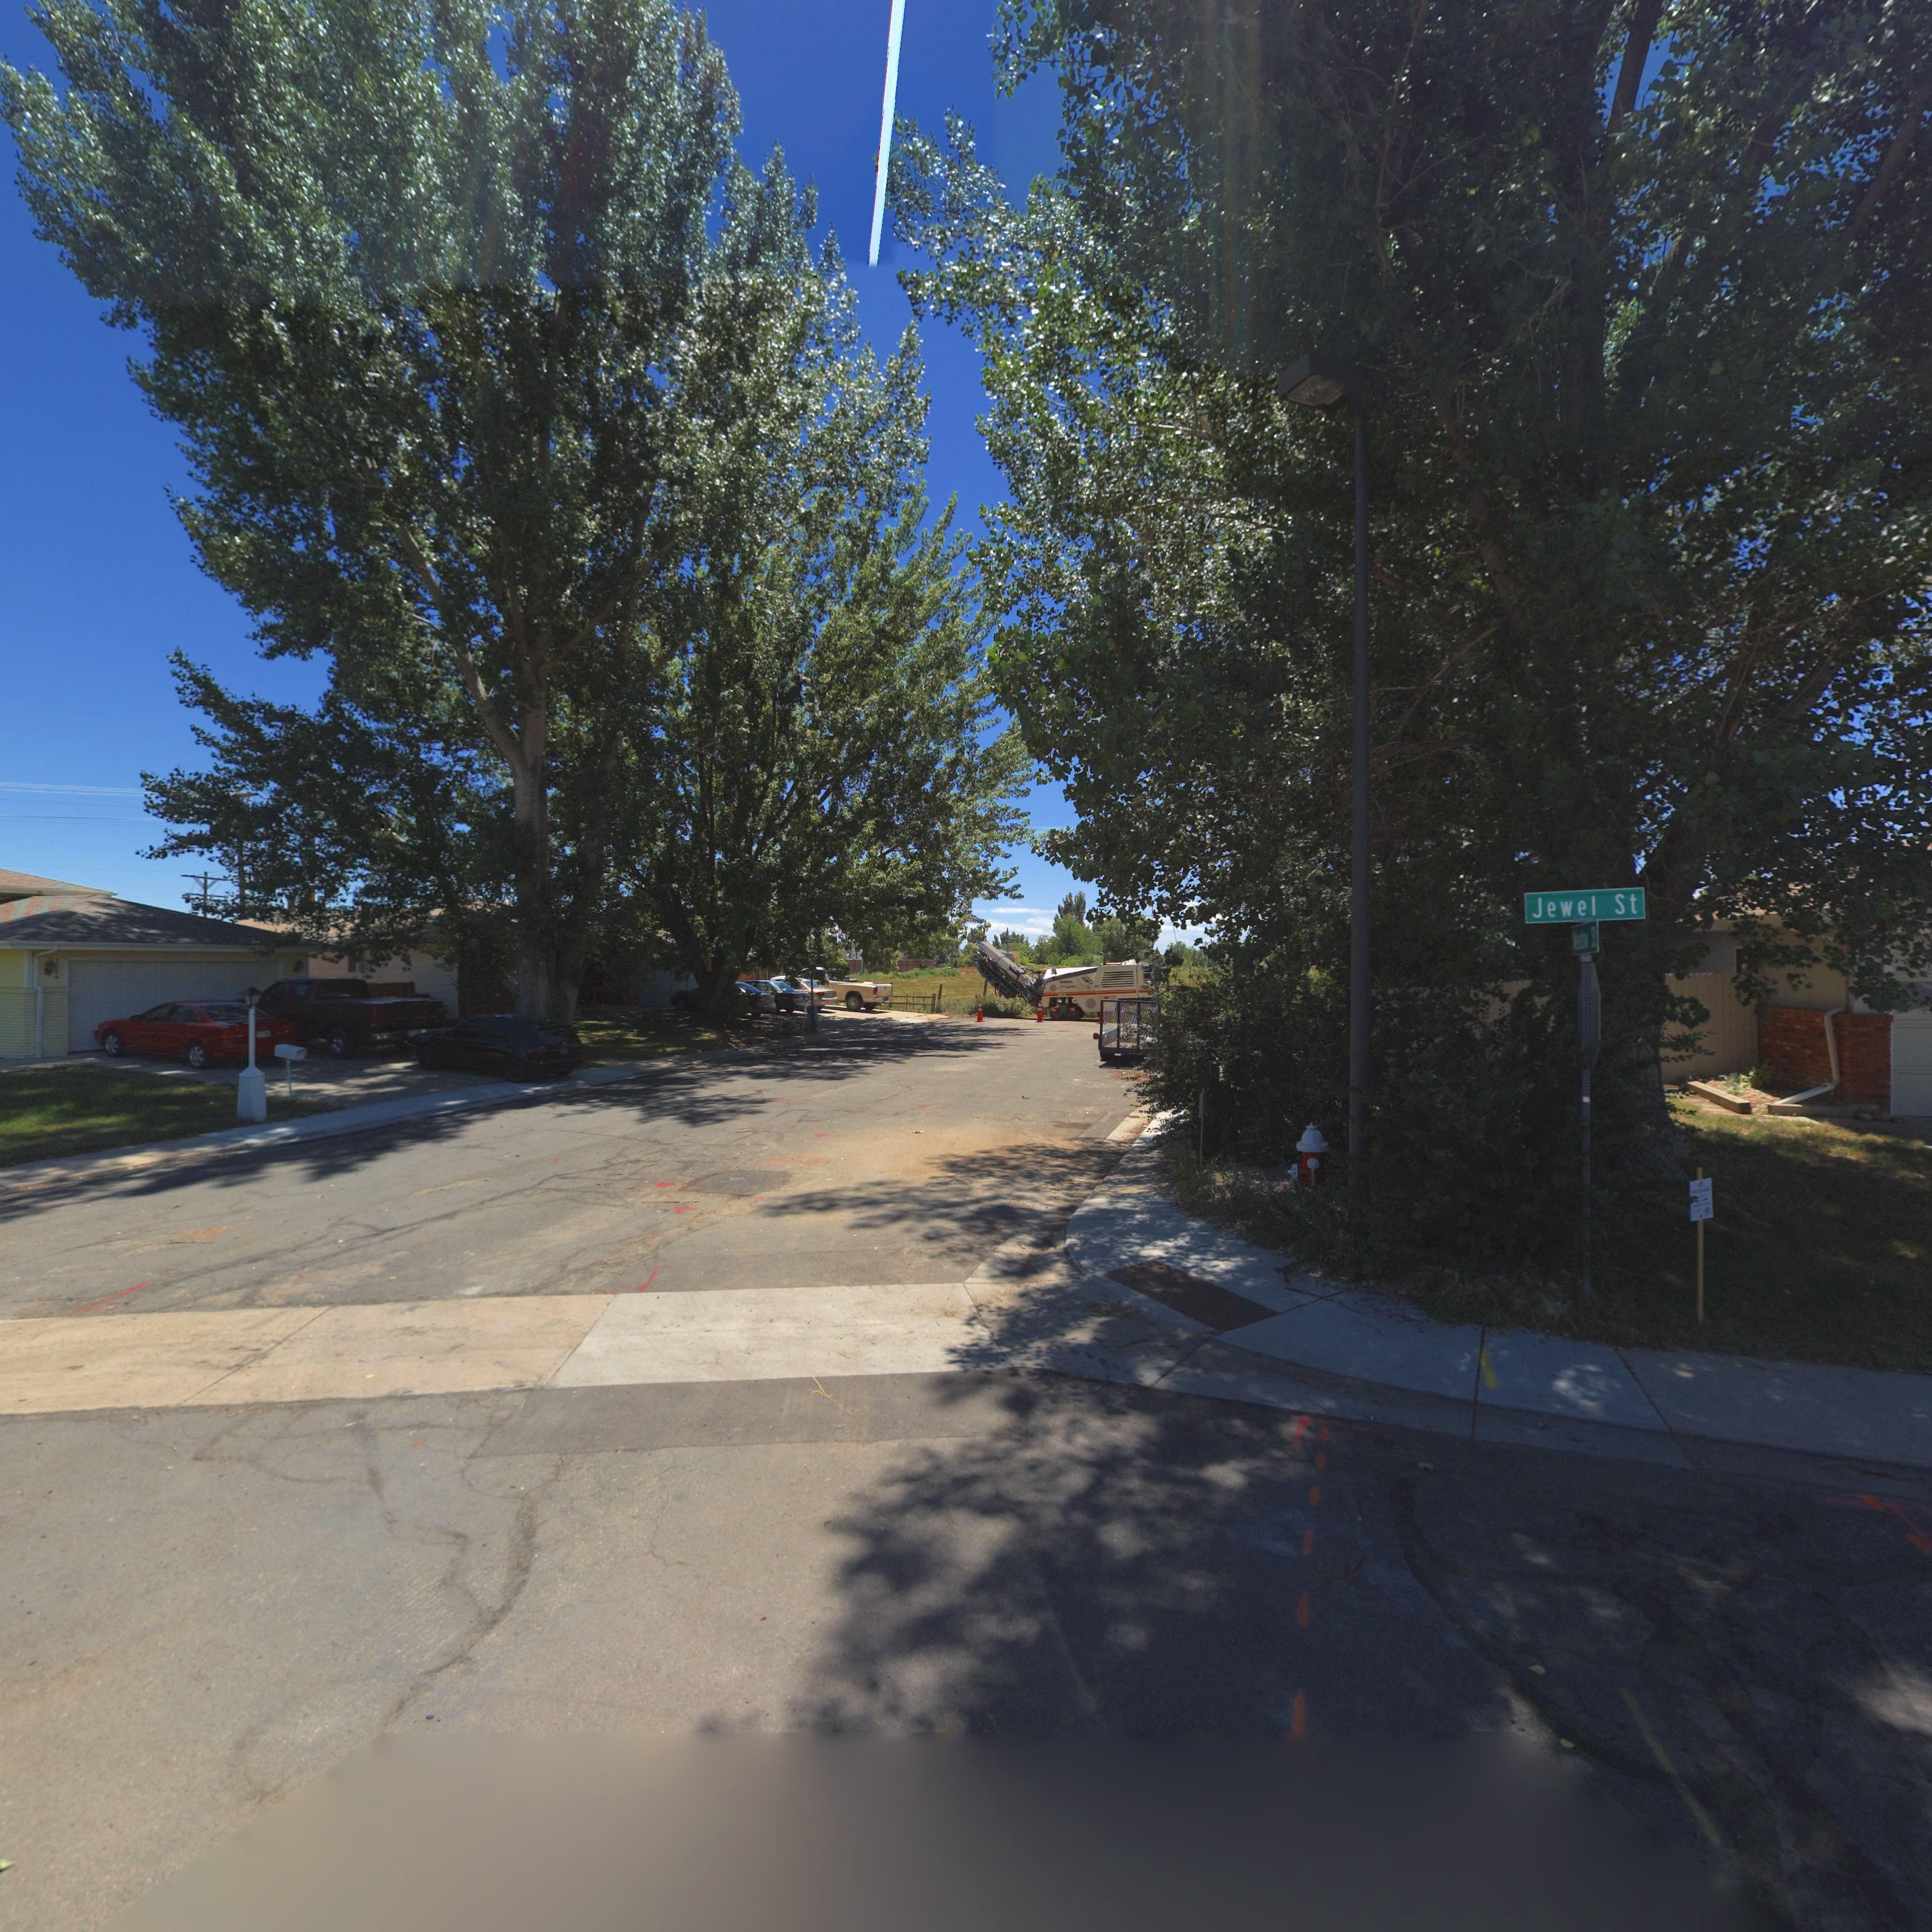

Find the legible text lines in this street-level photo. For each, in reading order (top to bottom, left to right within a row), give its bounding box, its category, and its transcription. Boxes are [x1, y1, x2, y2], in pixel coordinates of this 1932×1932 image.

[1532, 891, 1637, 918] StreetName: Jewel St
[1572, 925, 1597, 951] StreetName: M**d*w St
[54, 957, 59, 979] StreetNumber: 2***